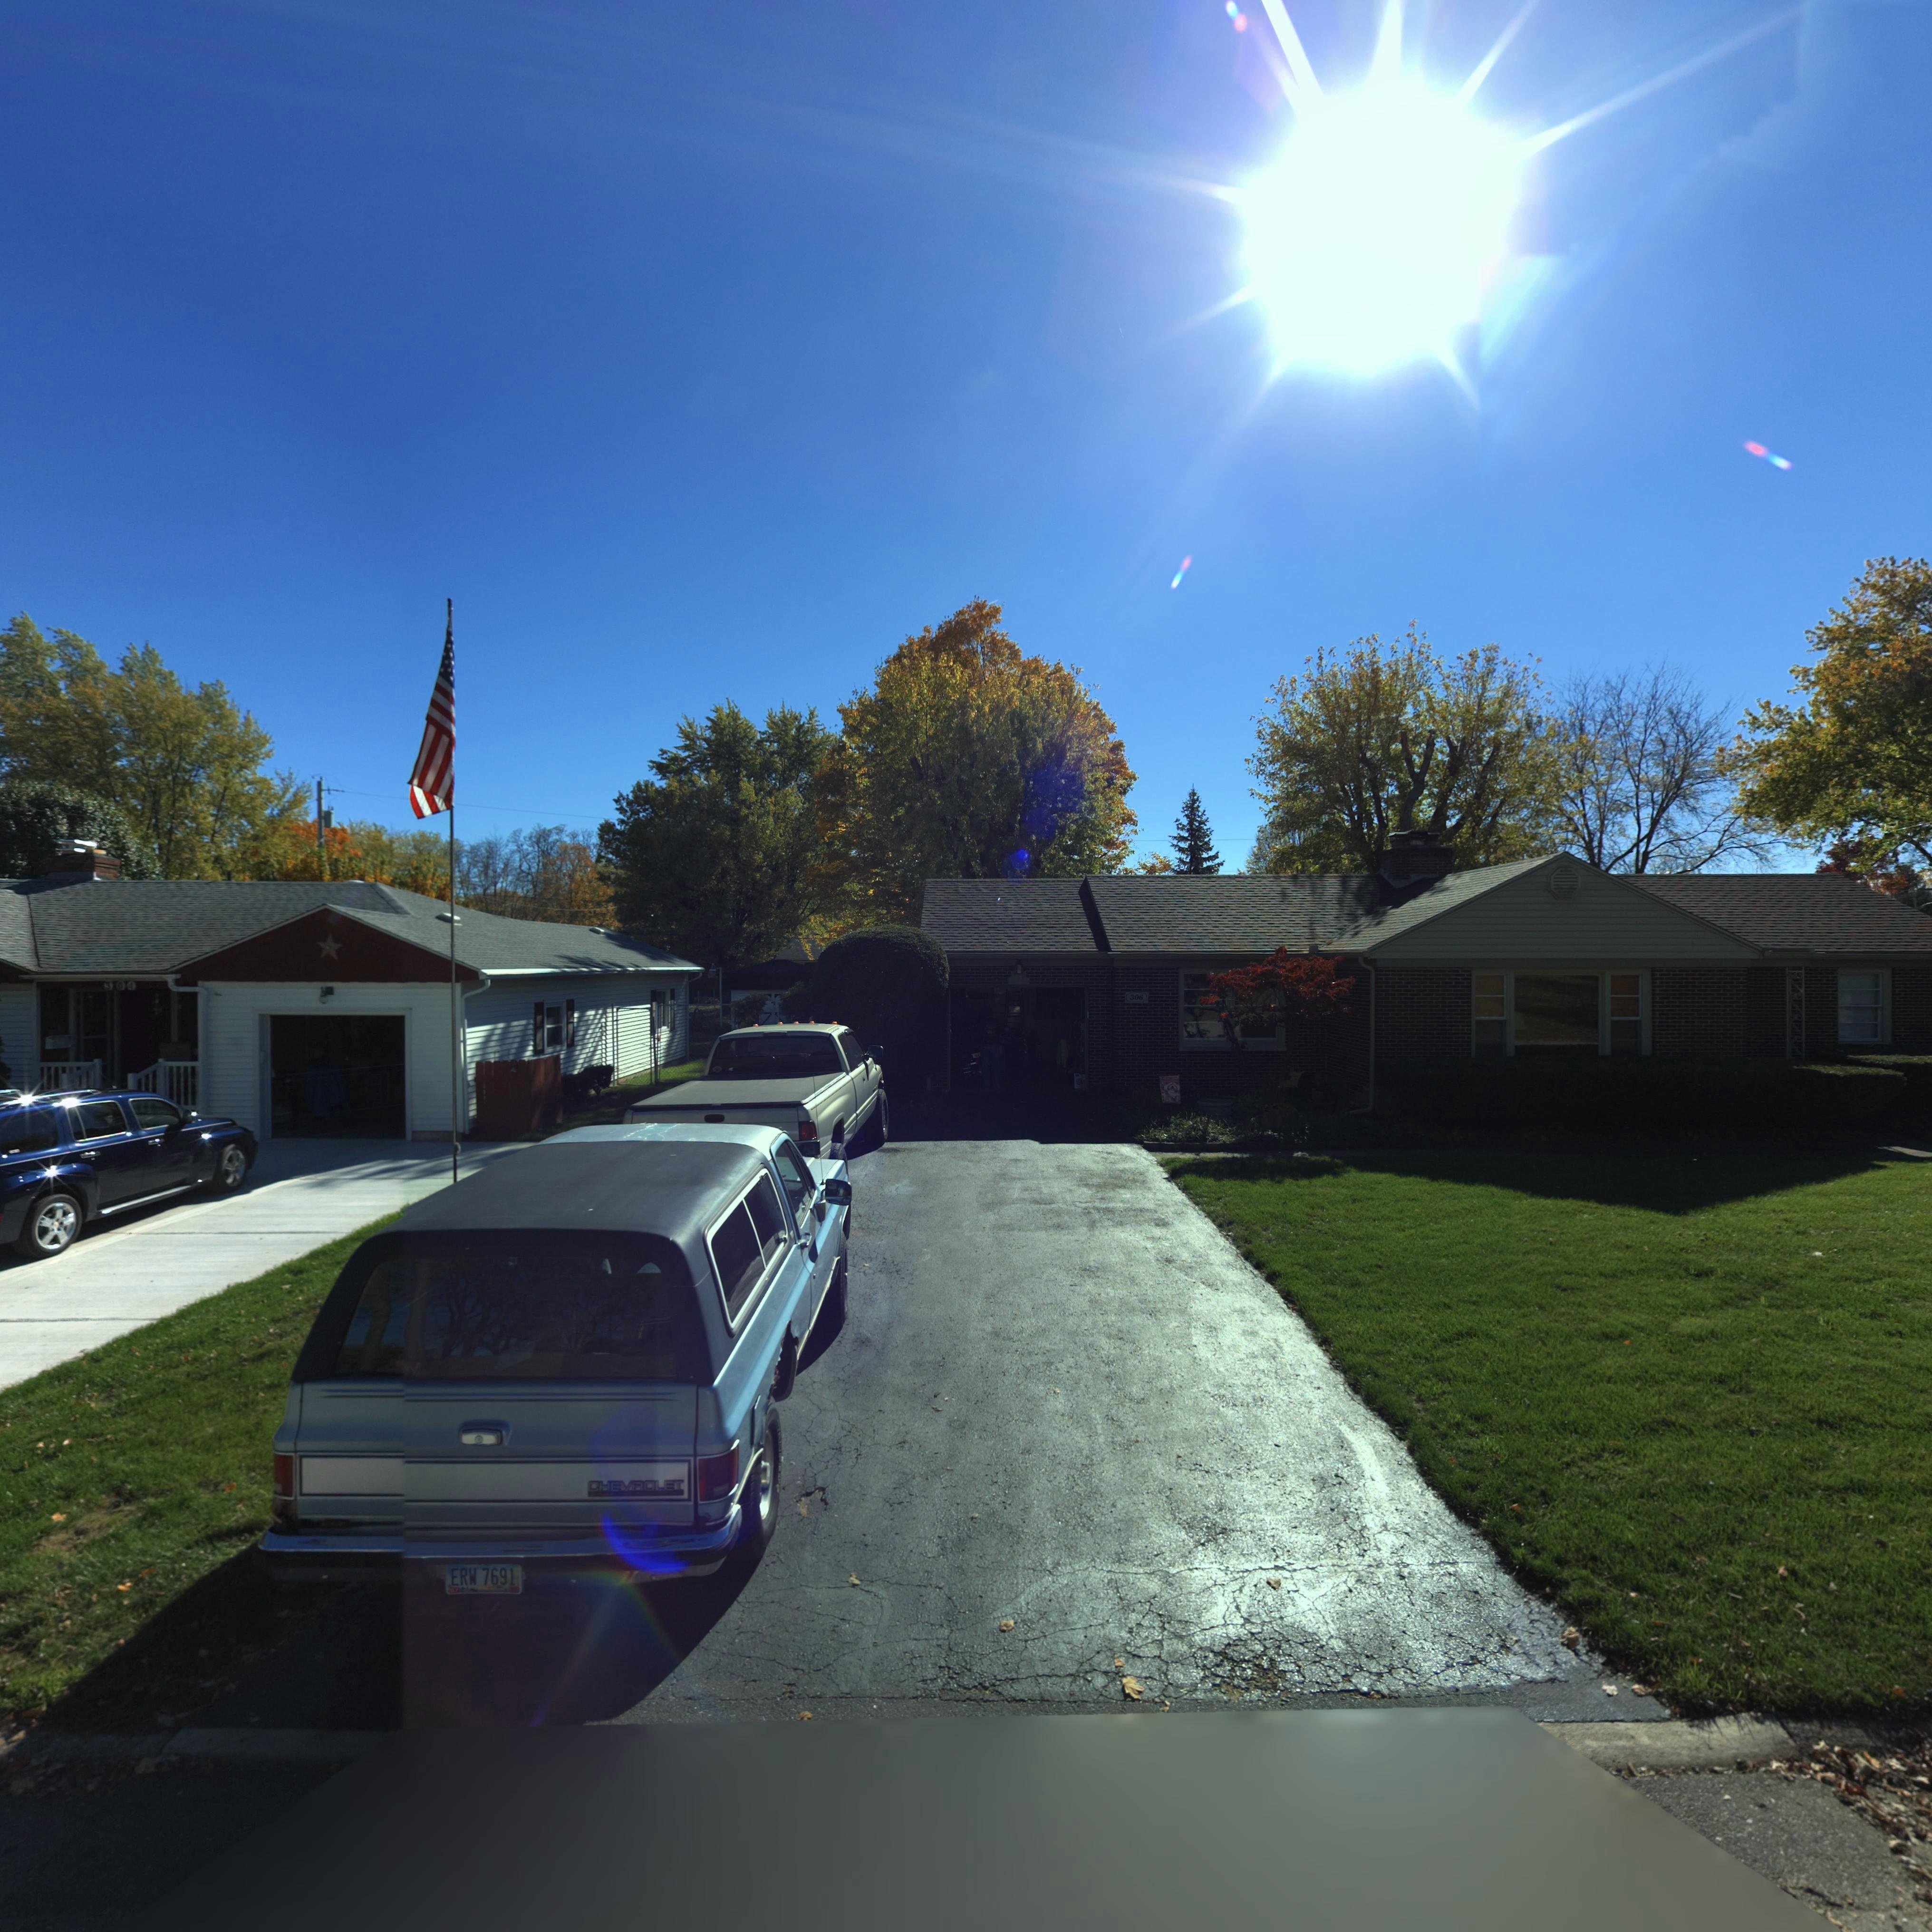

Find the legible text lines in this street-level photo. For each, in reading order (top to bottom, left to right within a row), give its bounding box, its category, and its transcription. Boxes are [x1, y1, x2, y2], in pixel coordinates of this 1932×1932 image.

[104, 981, 134, 990] StreetNumber: 304
[1130, 994, 1143, 1001] StreetNumber: 306